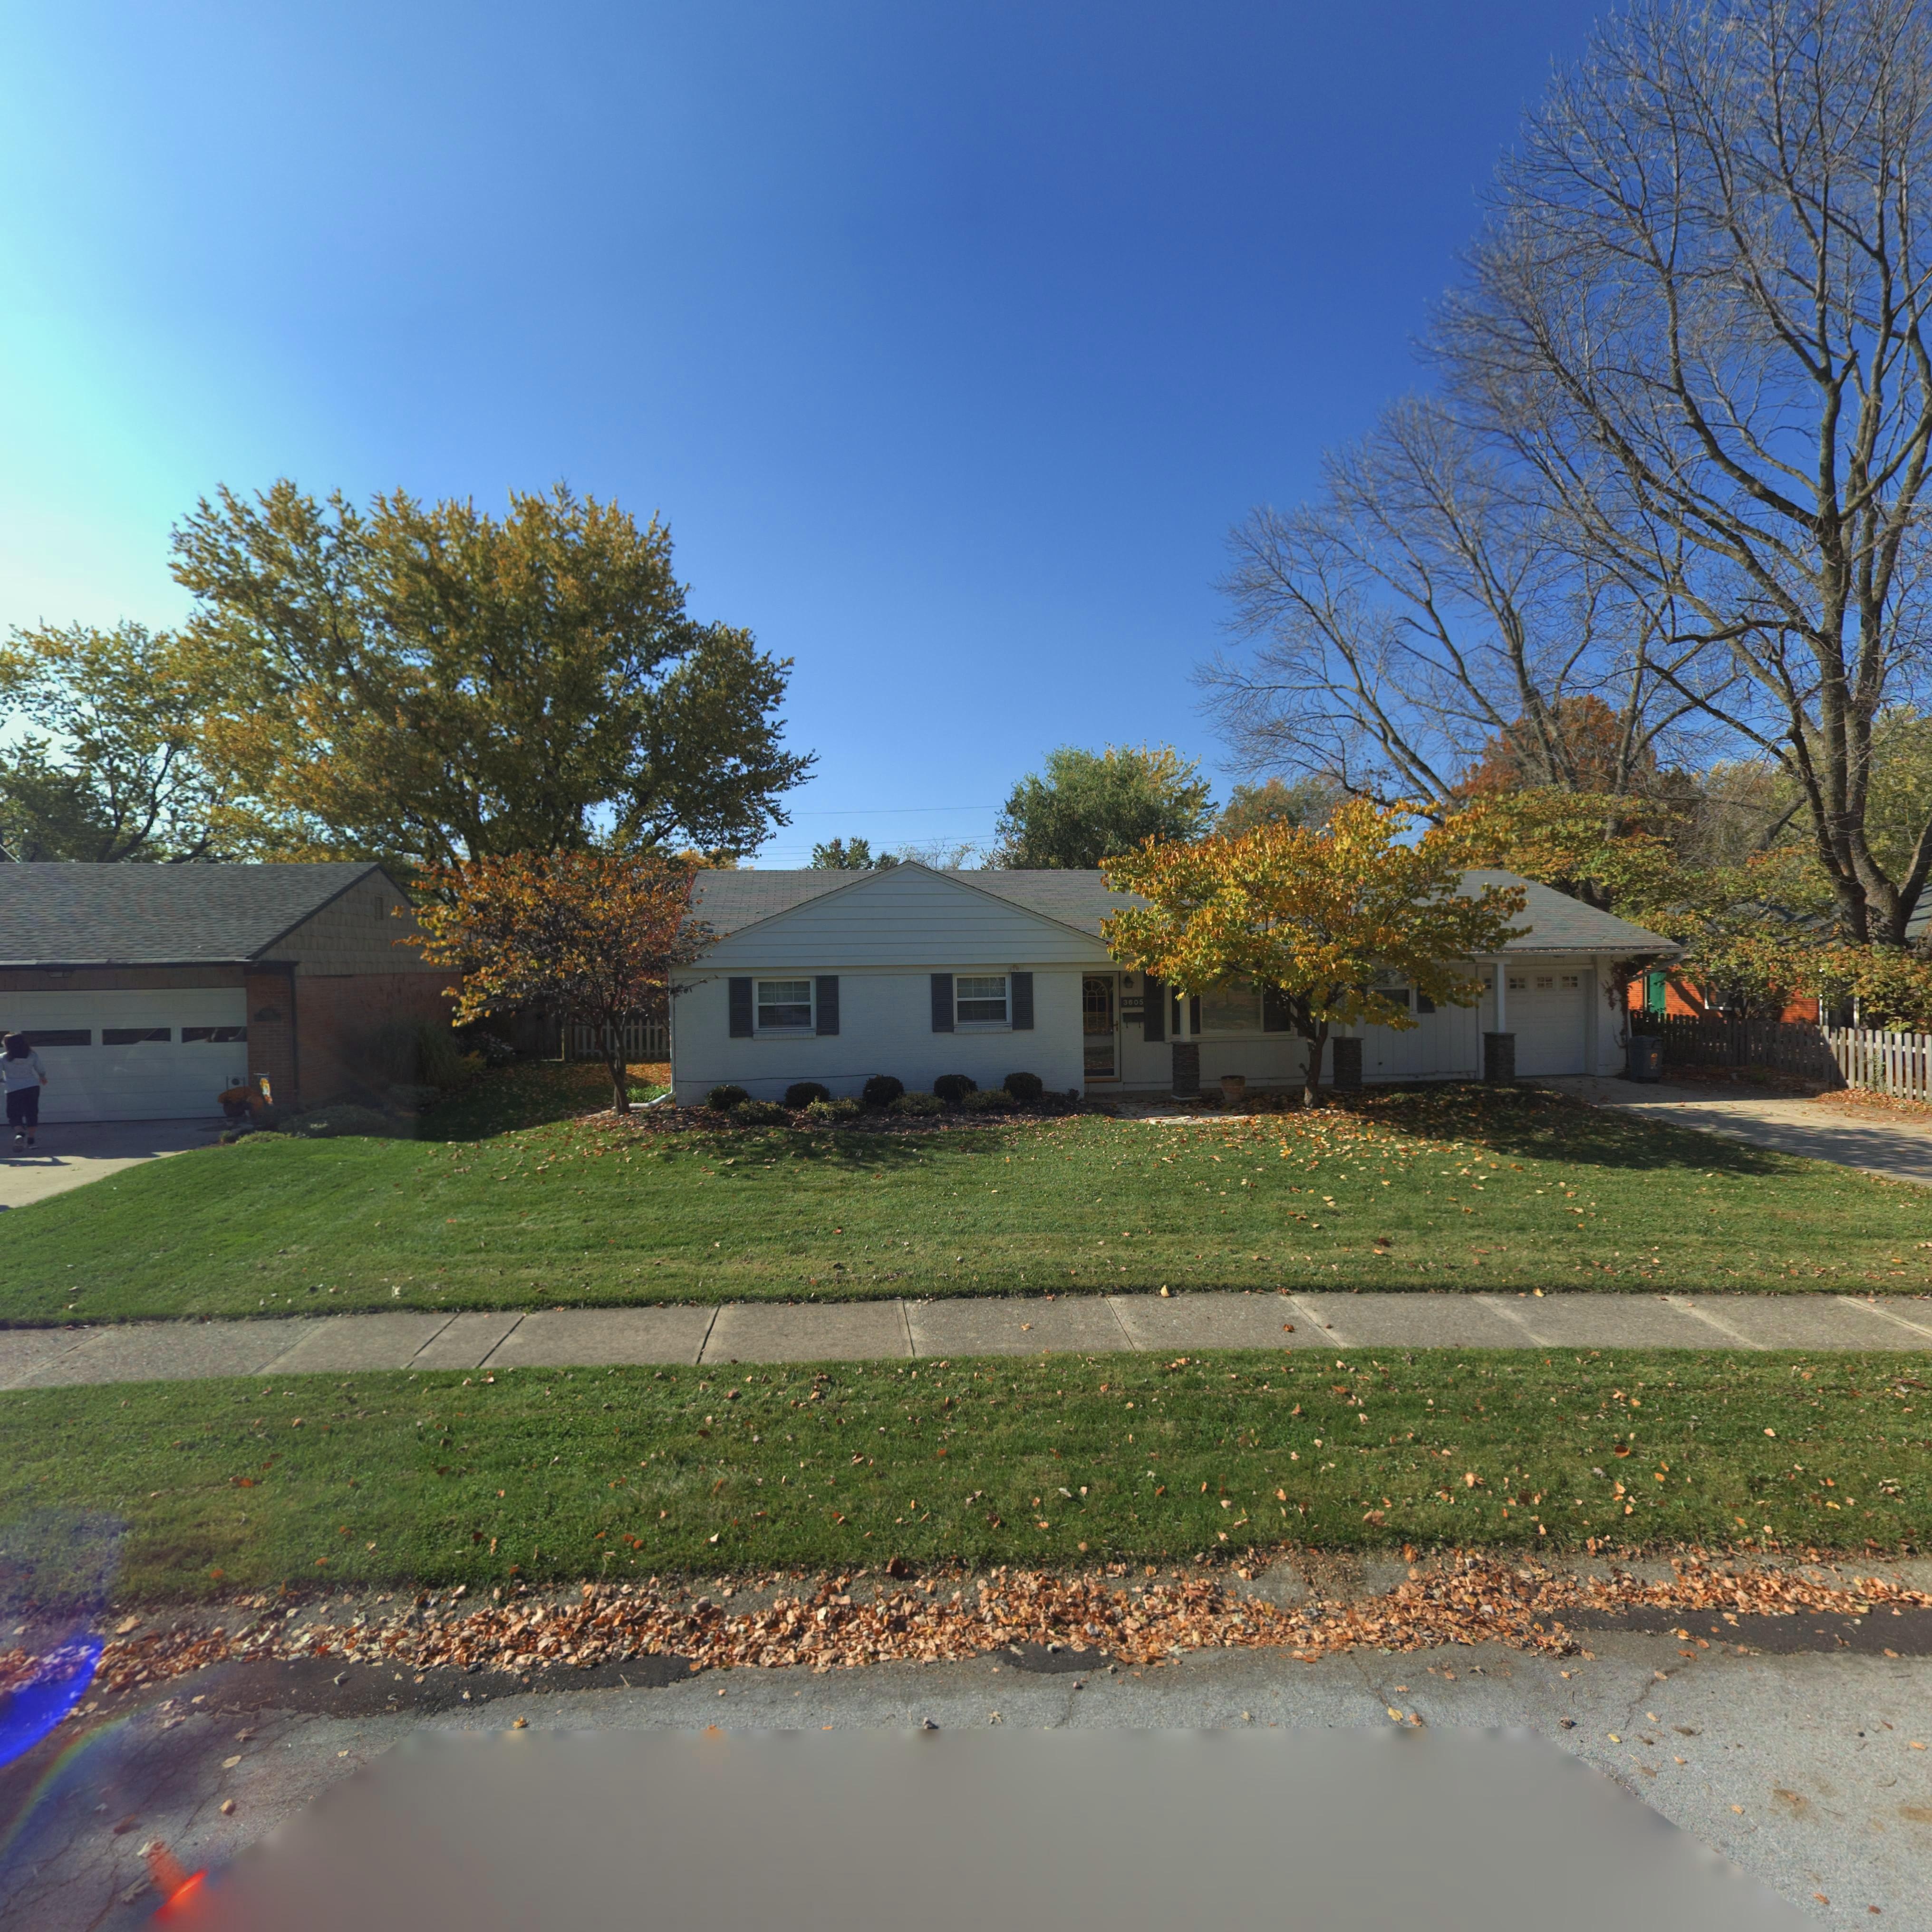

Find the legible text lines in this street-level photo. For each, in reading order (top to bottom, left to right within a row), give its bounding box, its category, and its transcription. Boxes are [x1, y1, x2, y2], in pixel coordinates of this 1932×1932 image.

[1122, 998, 1144, 1006] StreetNumber: 3605